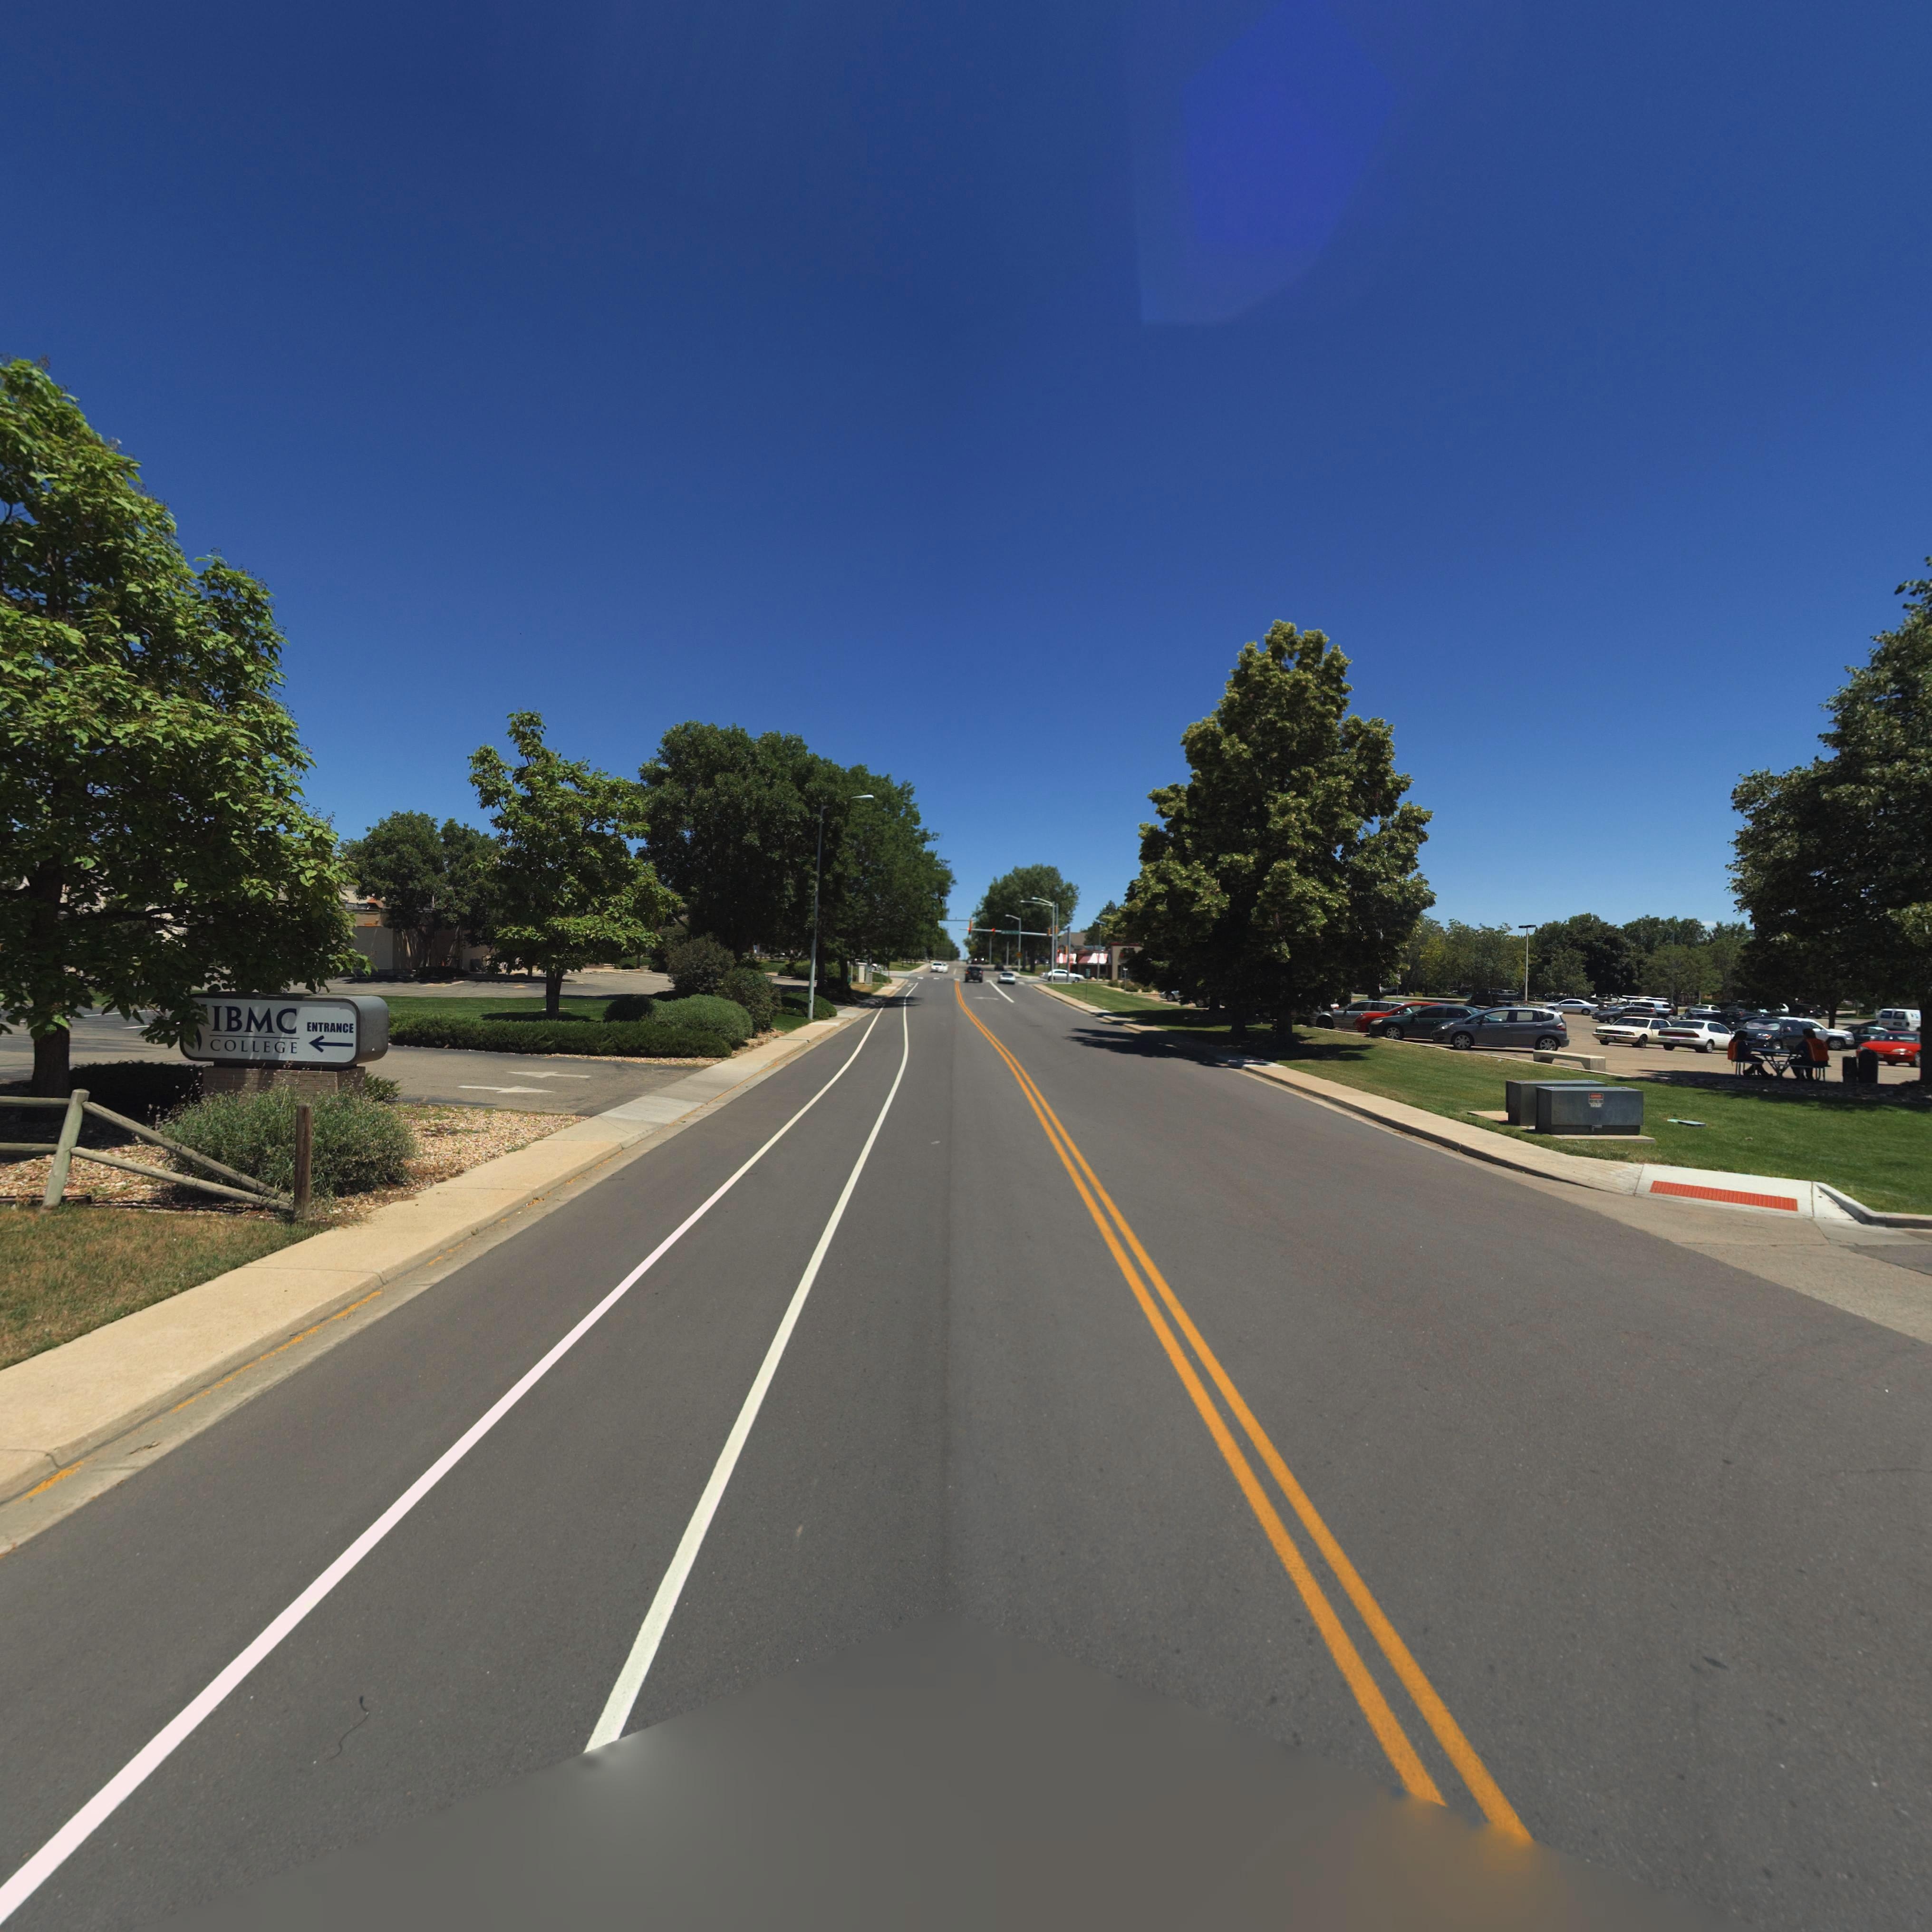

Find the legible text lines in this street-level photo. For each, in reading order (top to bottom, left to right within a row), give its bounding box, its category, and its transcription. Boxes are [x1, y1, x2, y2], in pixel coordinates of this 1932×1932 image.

[210, 1005, 297, 1034] BusinessName: IBMC
[209, 1038, 298, 1054] StreetNumber: COLLEGE